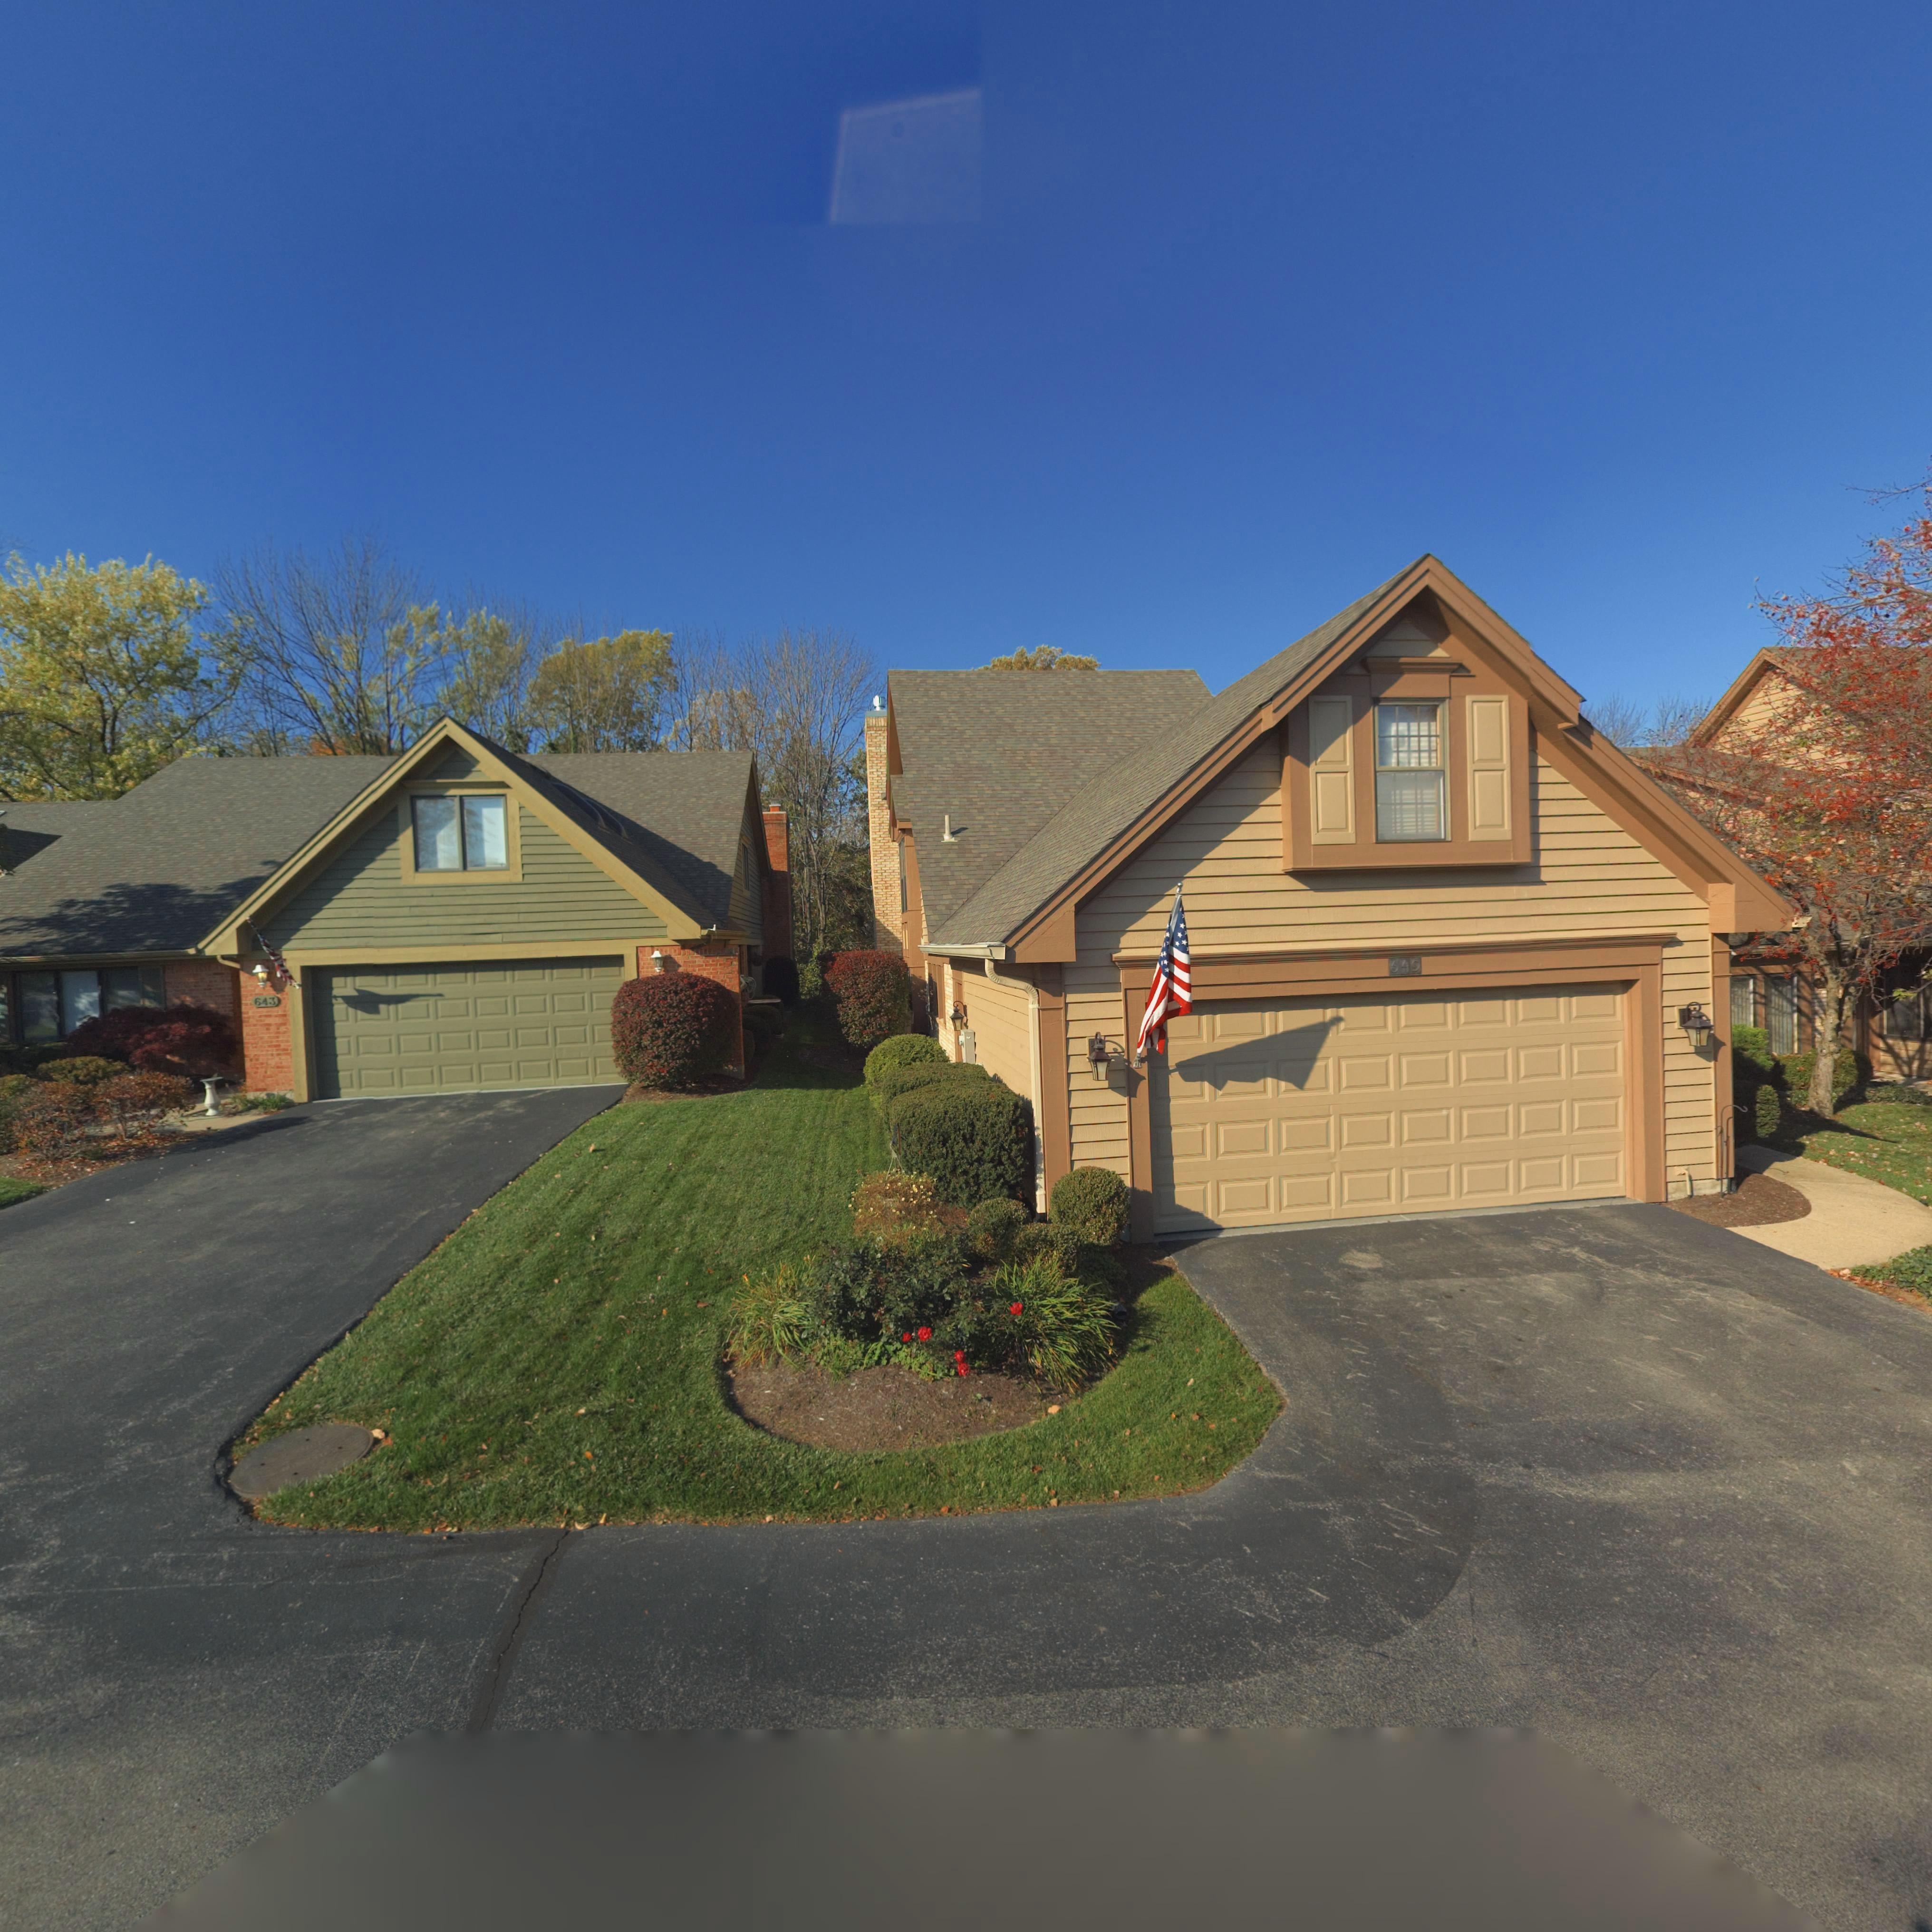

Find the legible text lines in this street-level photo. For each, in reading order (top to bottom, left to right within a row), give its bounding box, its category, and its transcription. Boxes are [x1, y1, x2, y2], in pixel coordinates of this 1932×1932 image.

[1388, 959, 1421, 975] StreetNumber: 649
[253, 995, 276, 1007] StreetNumber: 643